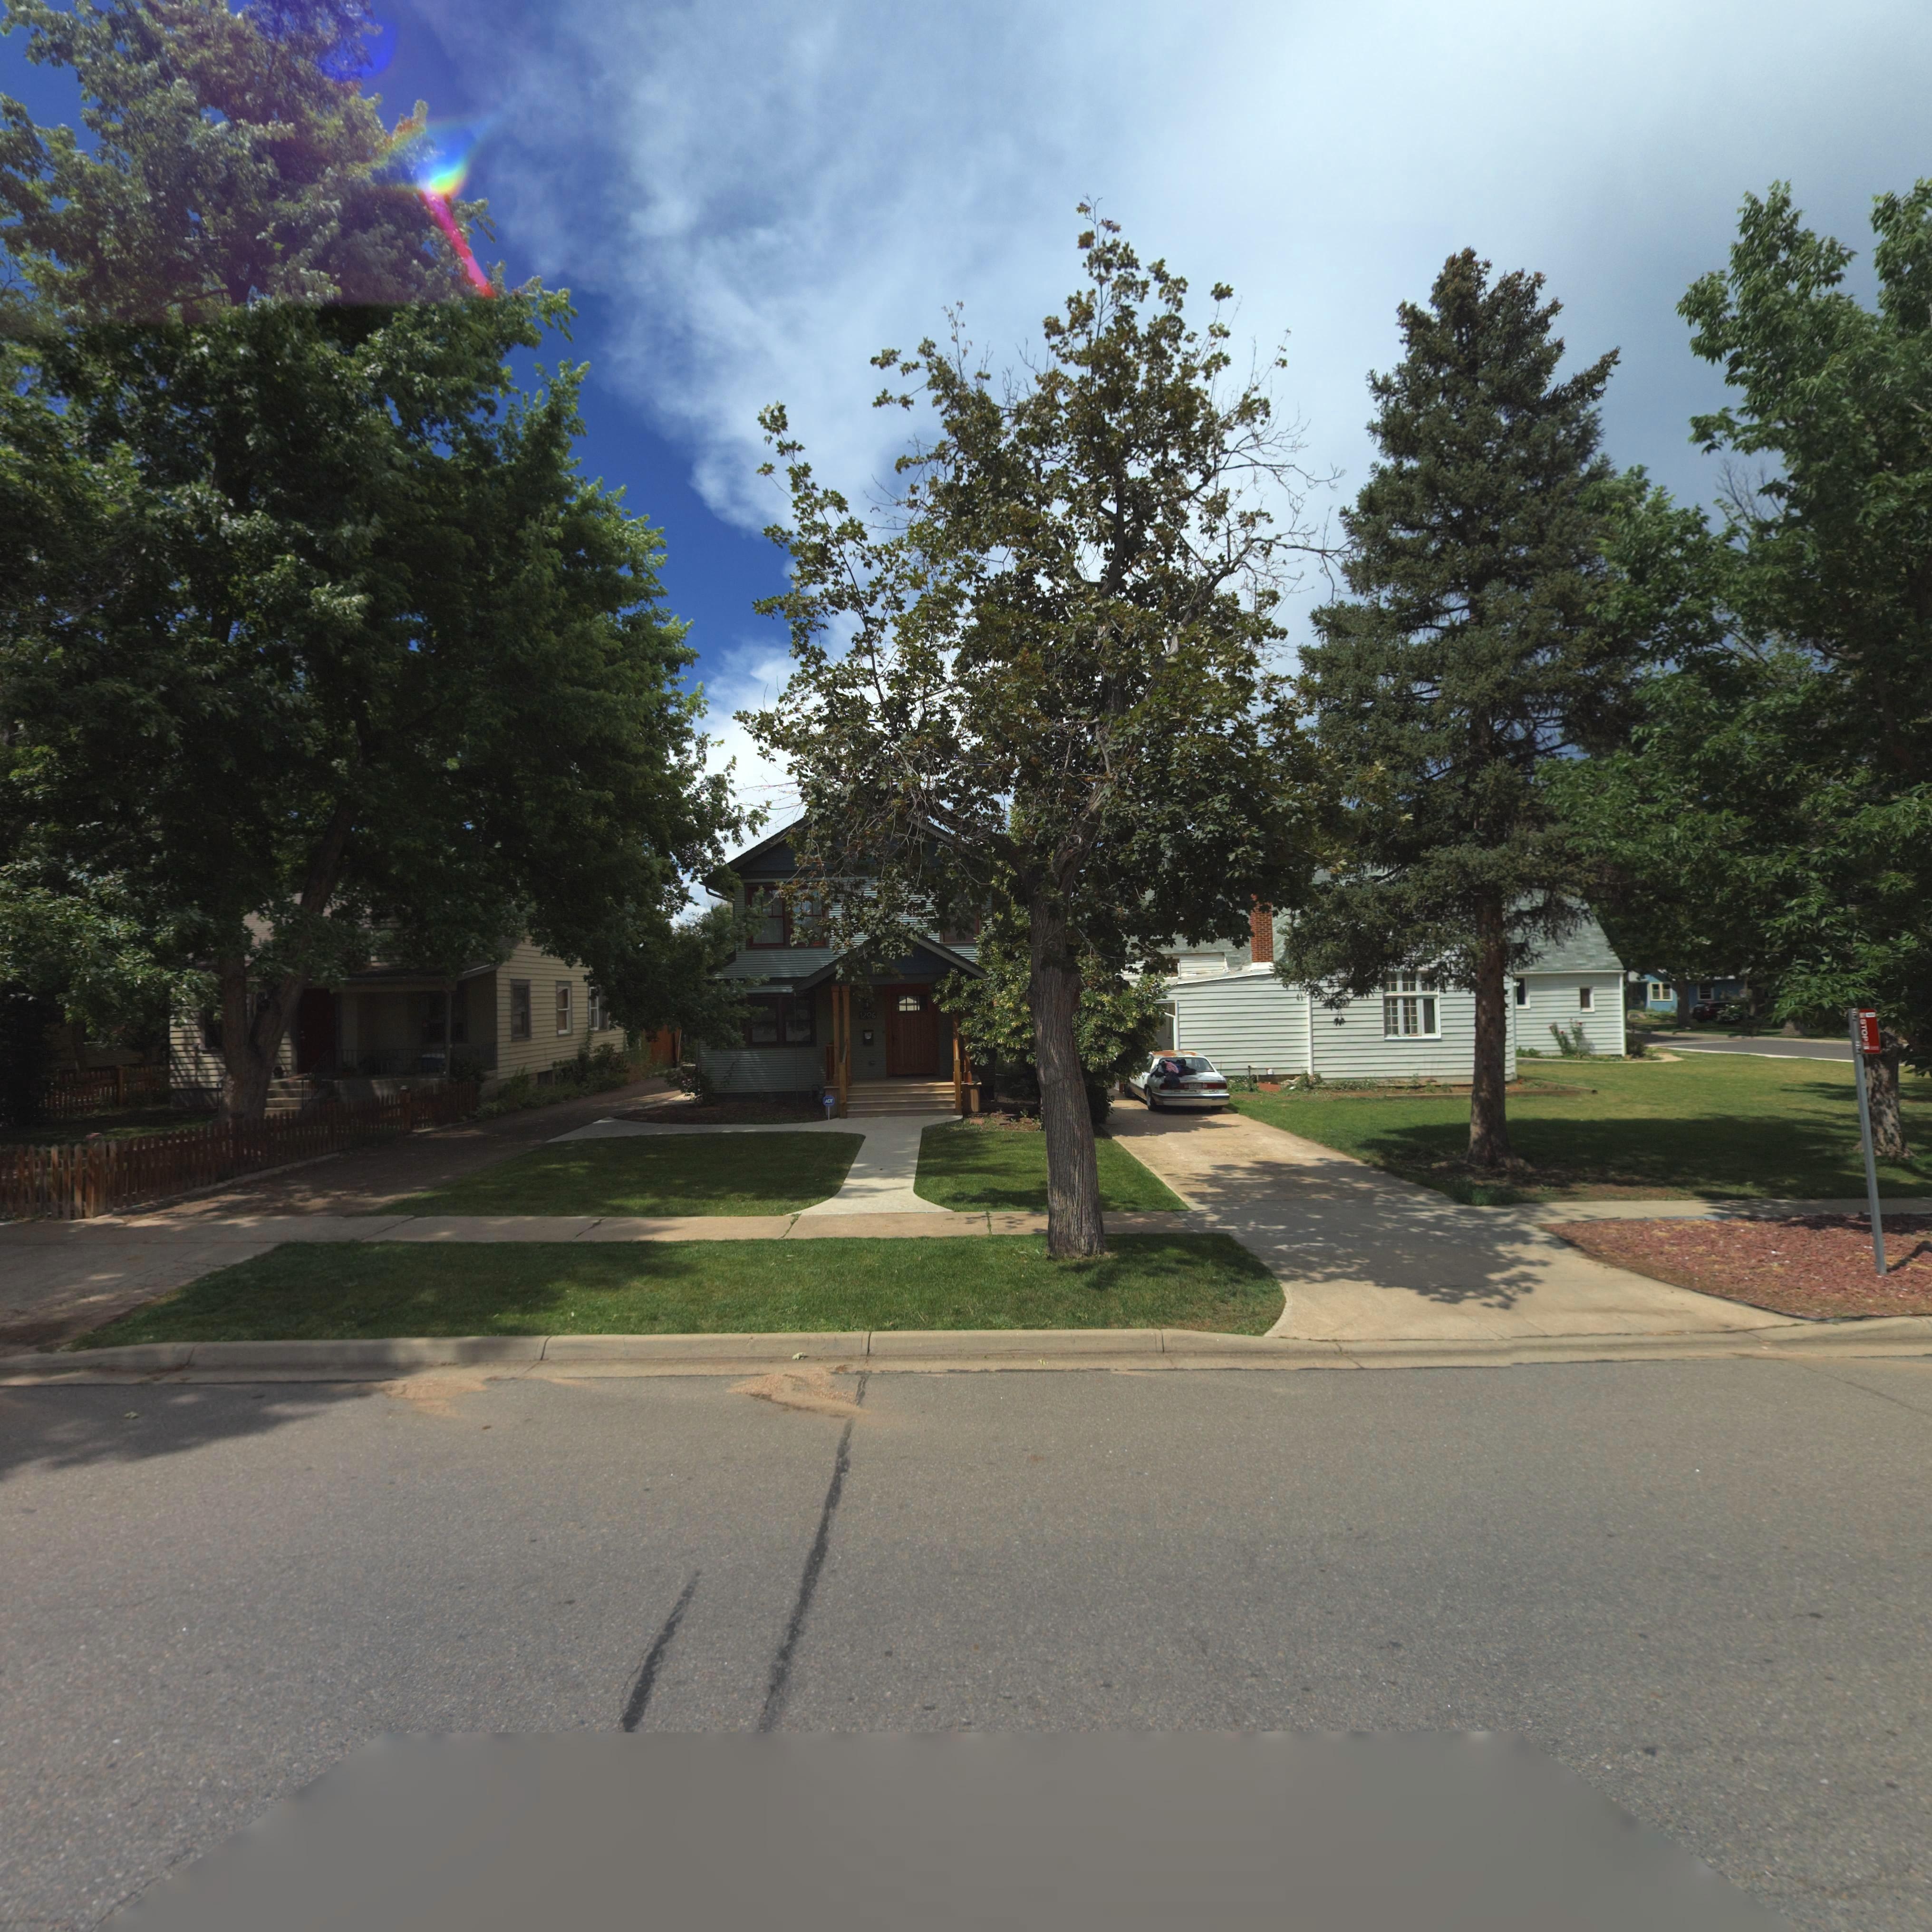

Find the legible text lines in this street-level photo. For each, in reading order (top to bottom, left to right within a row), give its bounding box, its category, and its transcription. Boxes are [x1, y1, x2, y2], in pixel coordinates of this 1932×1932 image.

[859, 1011, 876, 1018] StreetNumber: 1206